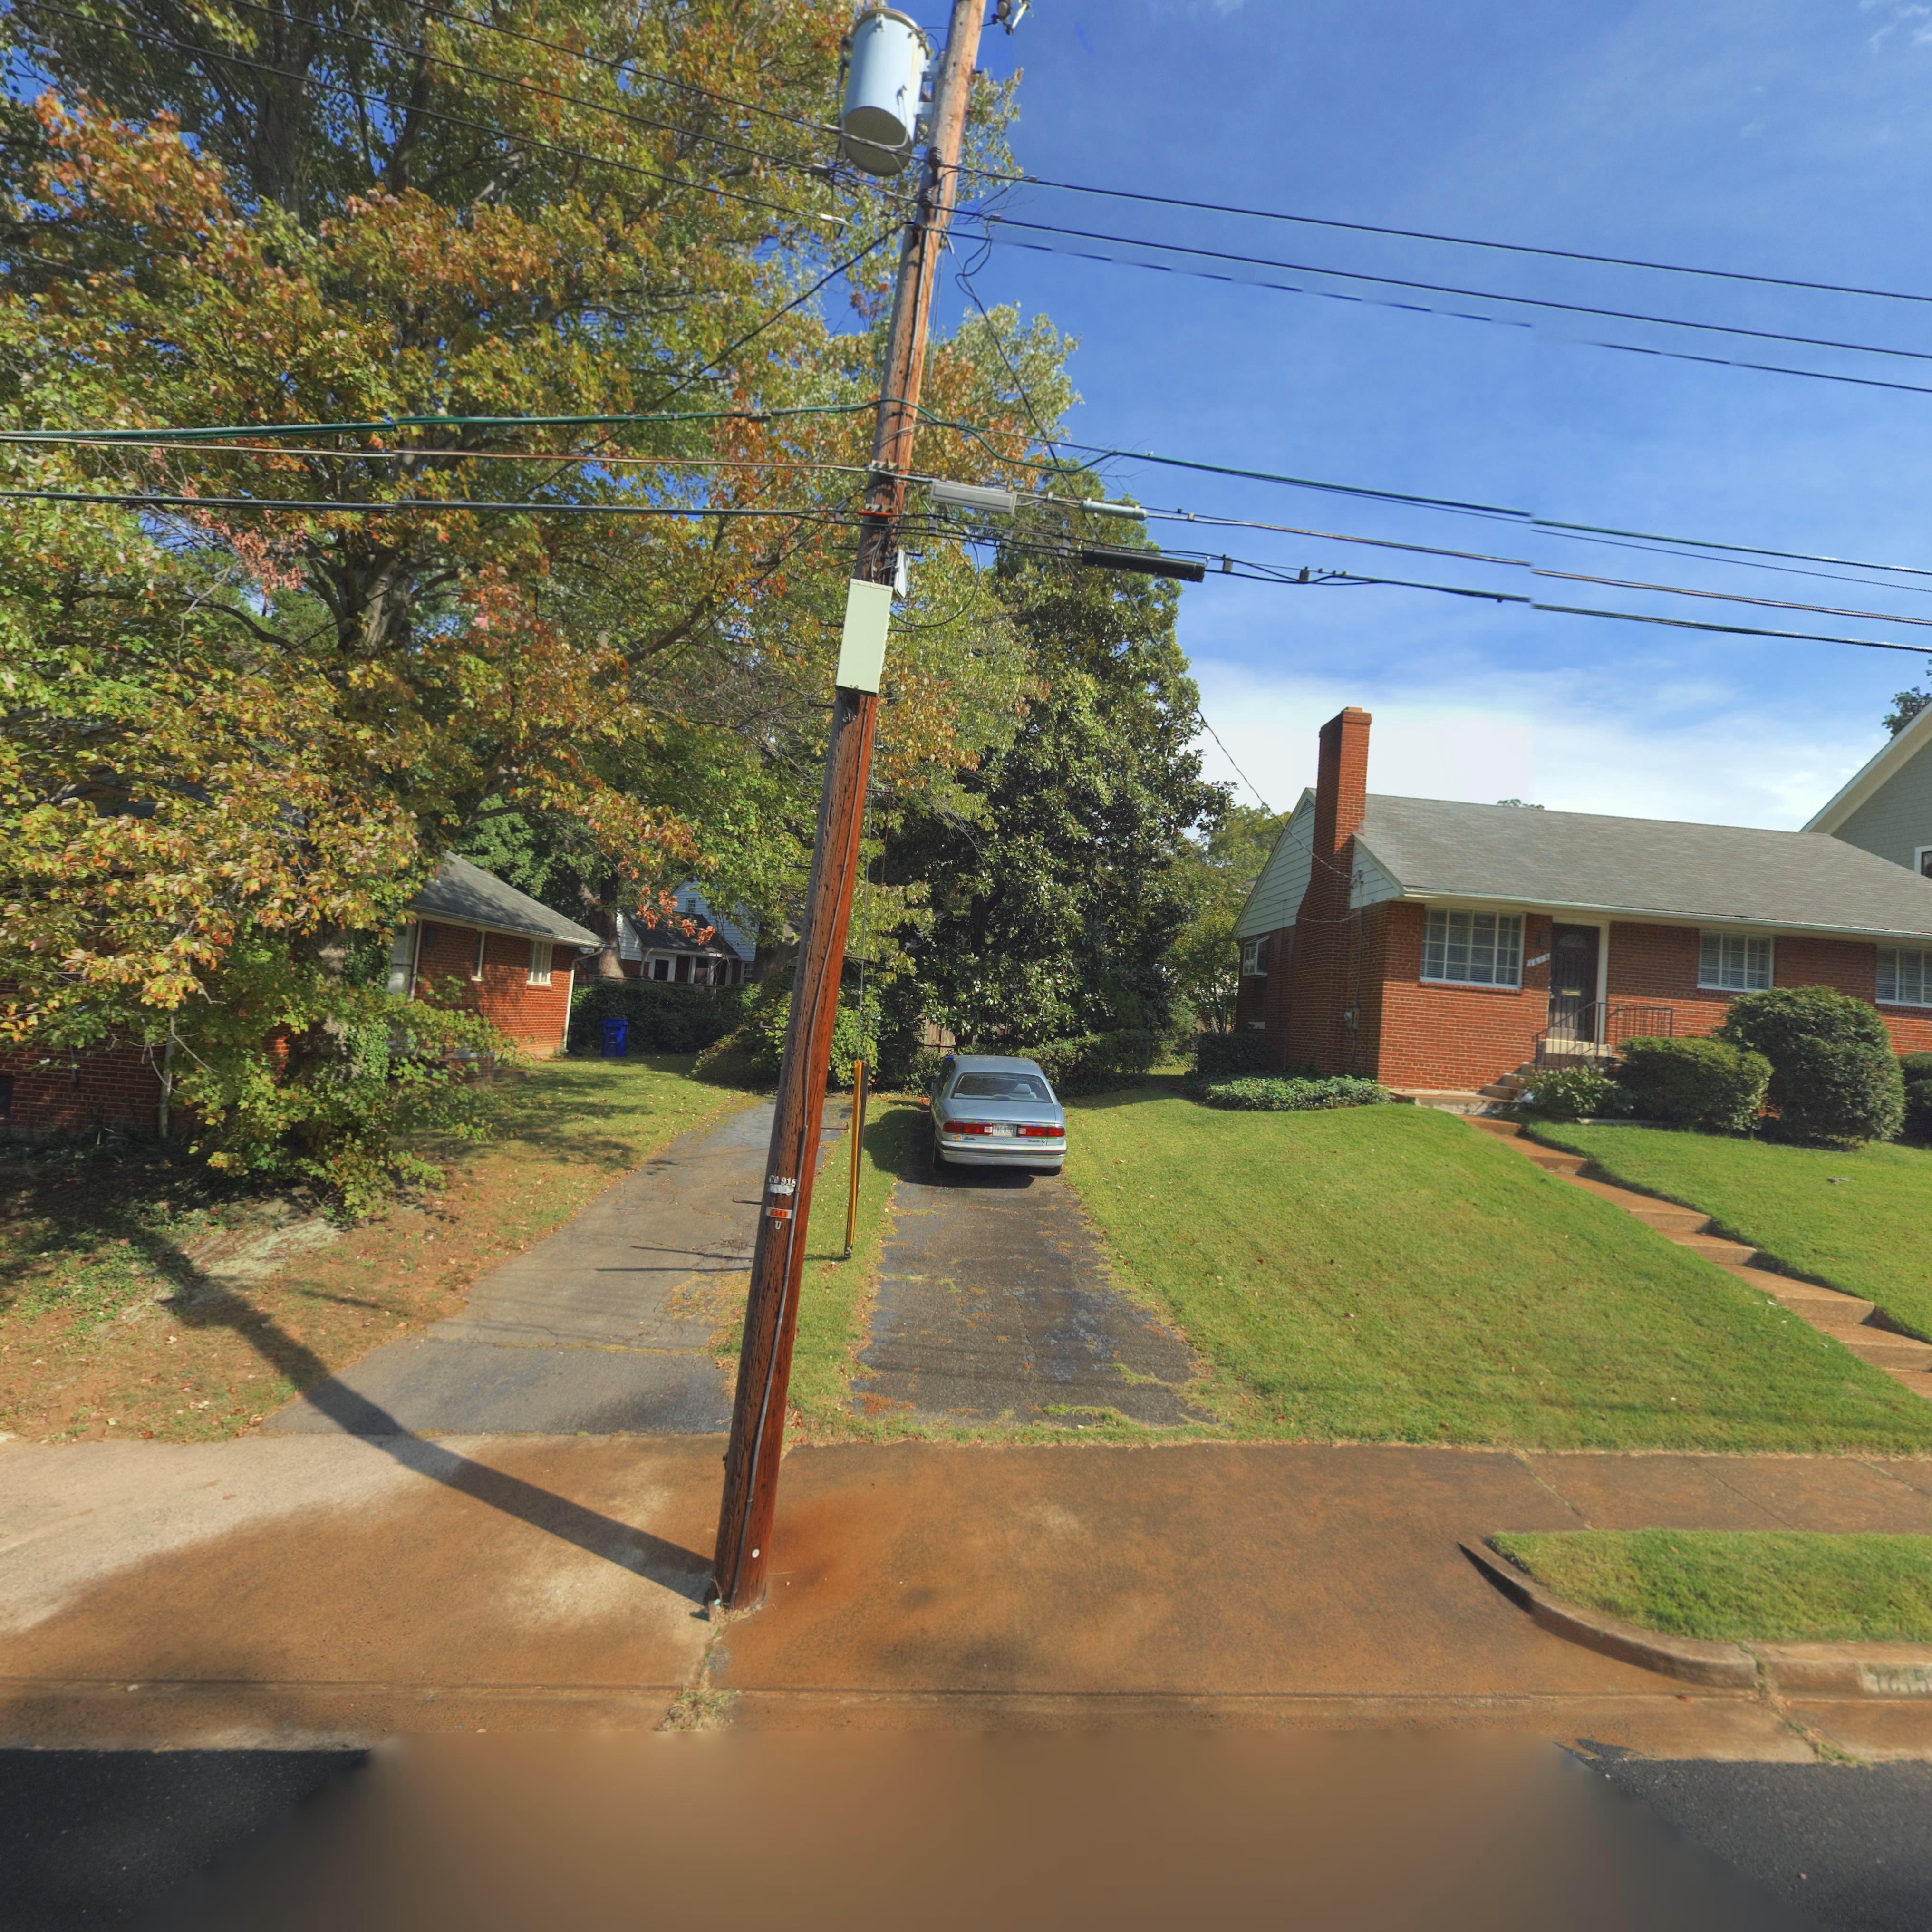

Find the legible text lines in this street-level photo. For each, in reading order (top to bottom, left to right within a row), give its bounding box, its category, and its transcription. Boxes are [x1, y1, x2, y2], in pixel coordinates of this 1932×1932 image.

[1529, 952, 1550, 968] StreetNumber: 1615
[767, 1173, 793, 1188] None: CO 91
[773, 1209, 788, 1218] None: 543
[773, 1219, 783, 1231] None: U